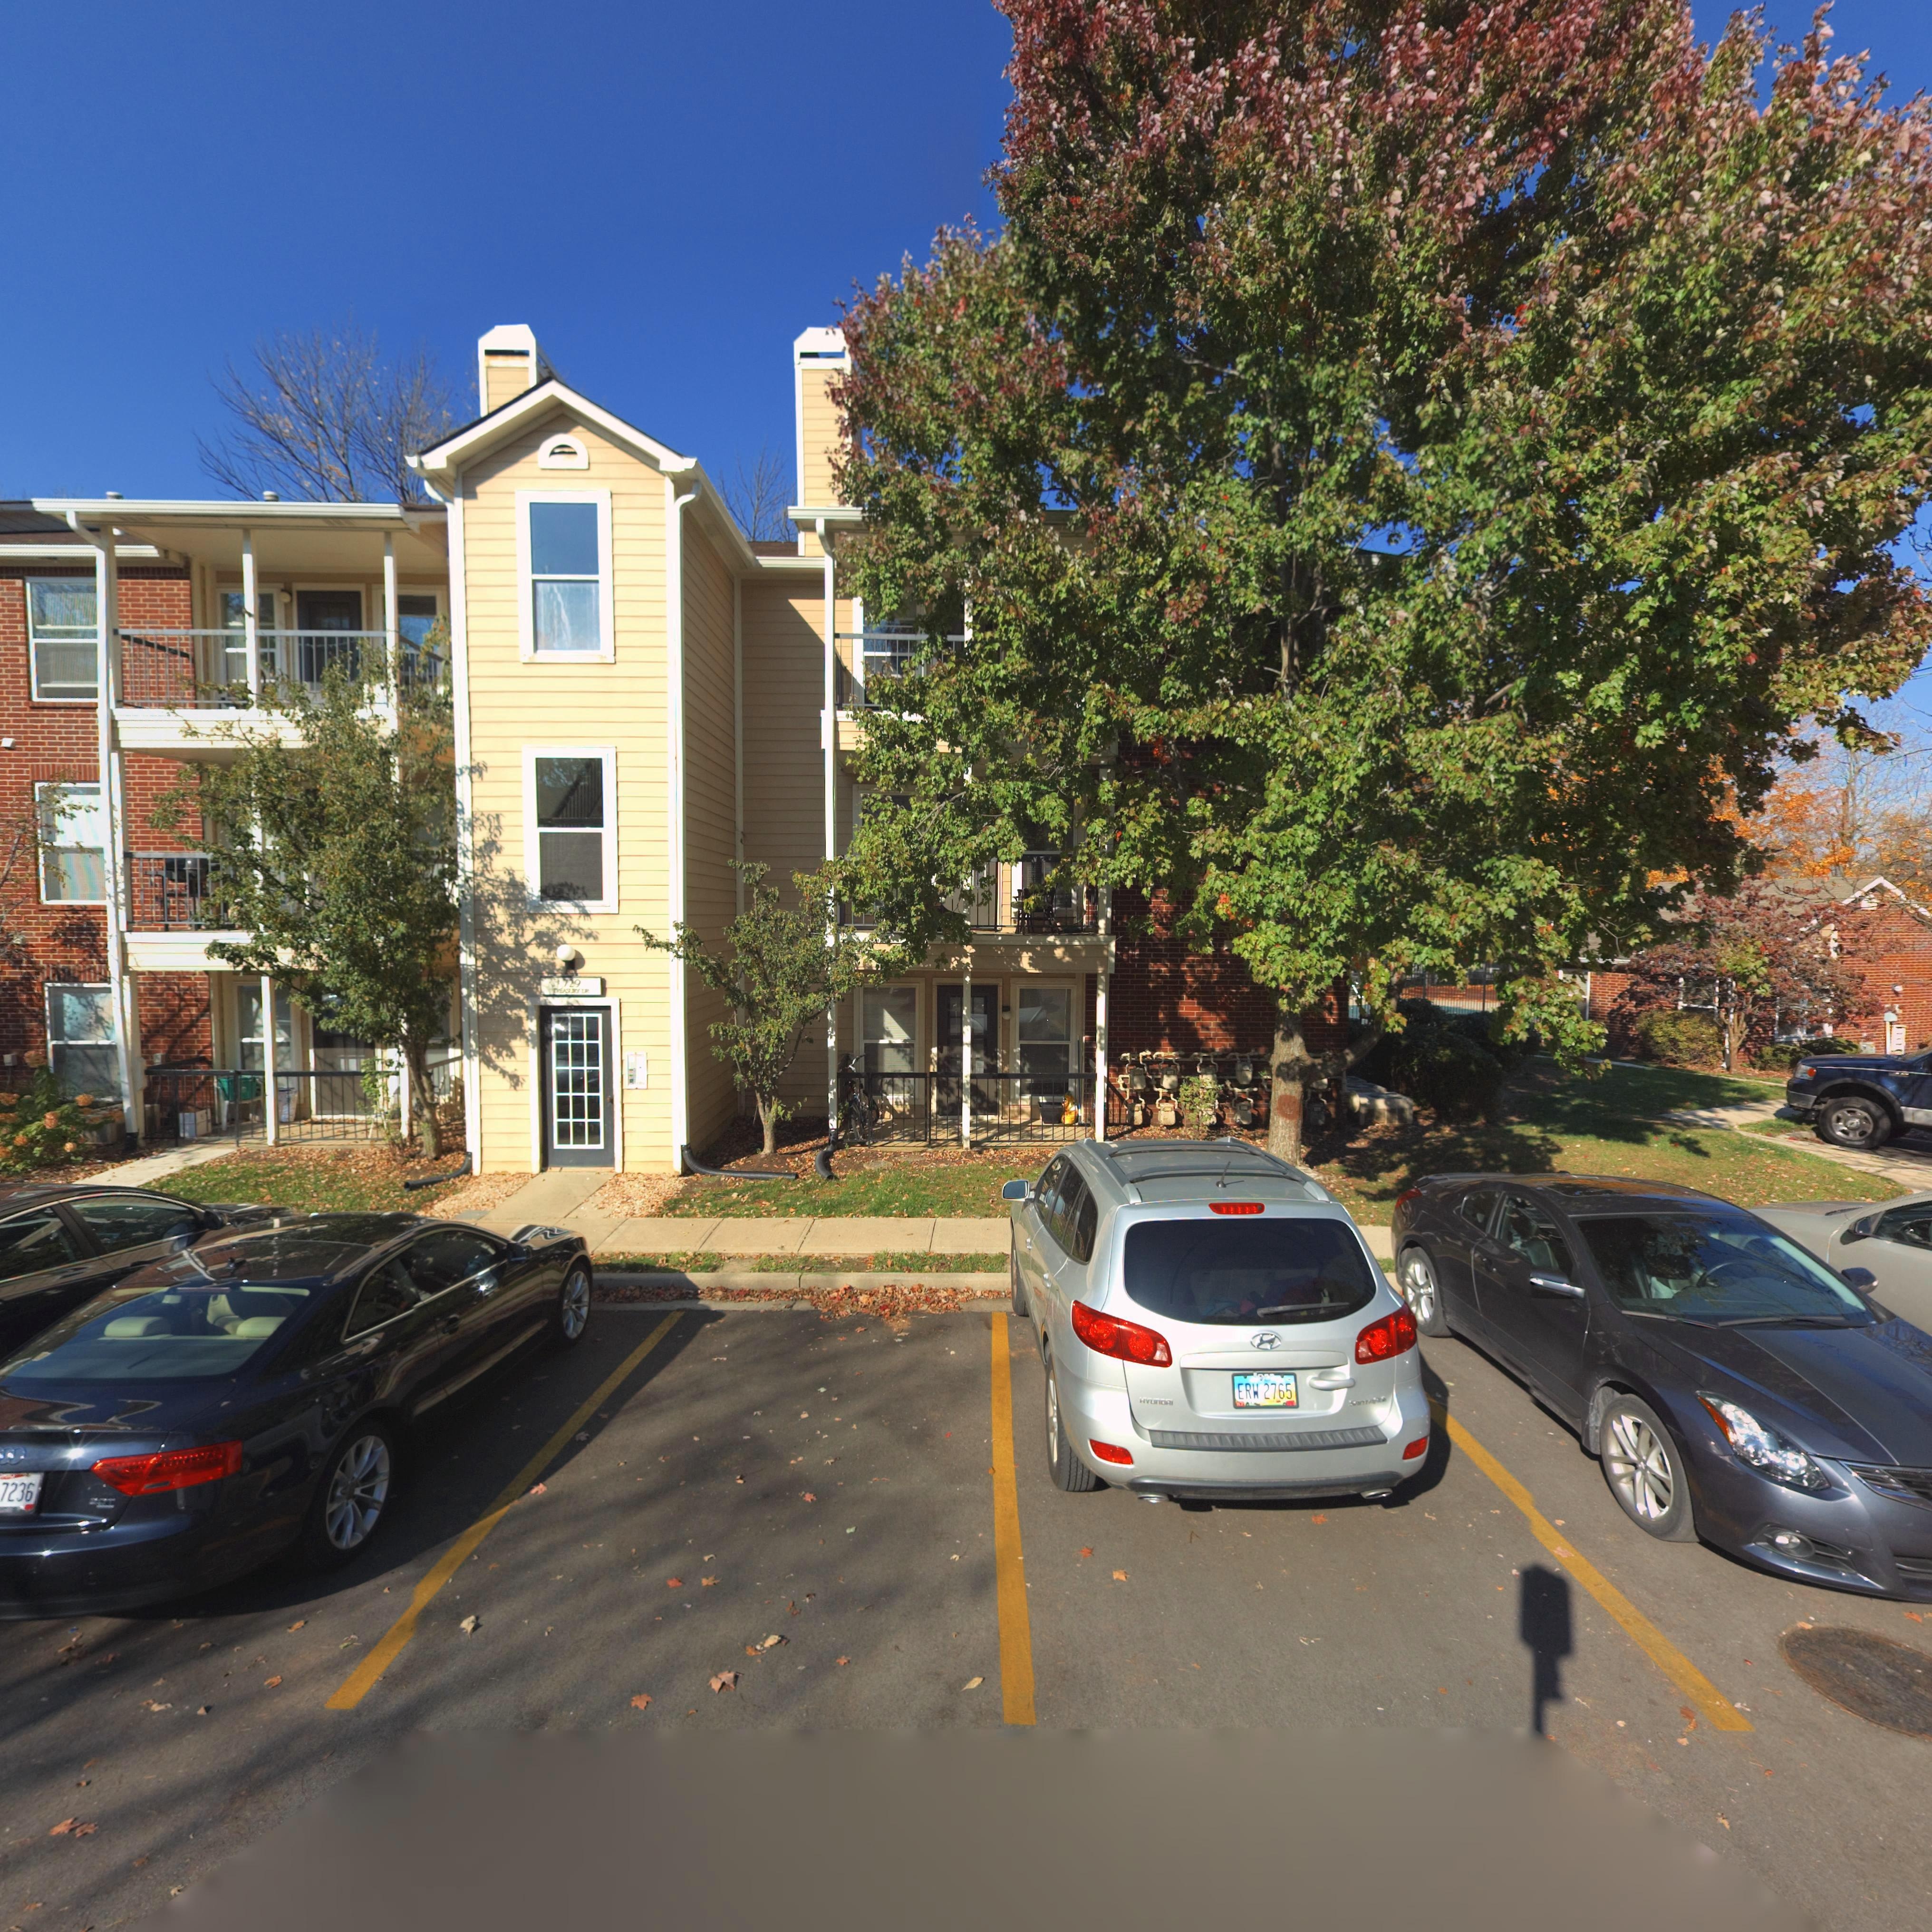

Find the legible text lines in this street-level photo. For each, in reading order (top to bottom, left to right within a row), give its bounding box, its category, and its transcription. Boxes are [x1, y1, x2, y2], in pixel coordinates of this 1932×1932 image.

[563, 978, 582, 989] StreetNumber: 729
[1138, 1396, 1175, 1407] None: HYUNDAI
[1236, 1381, 1294, 1401] None: ERW 2765
[0, 1480, 37, 1503] None: 7236